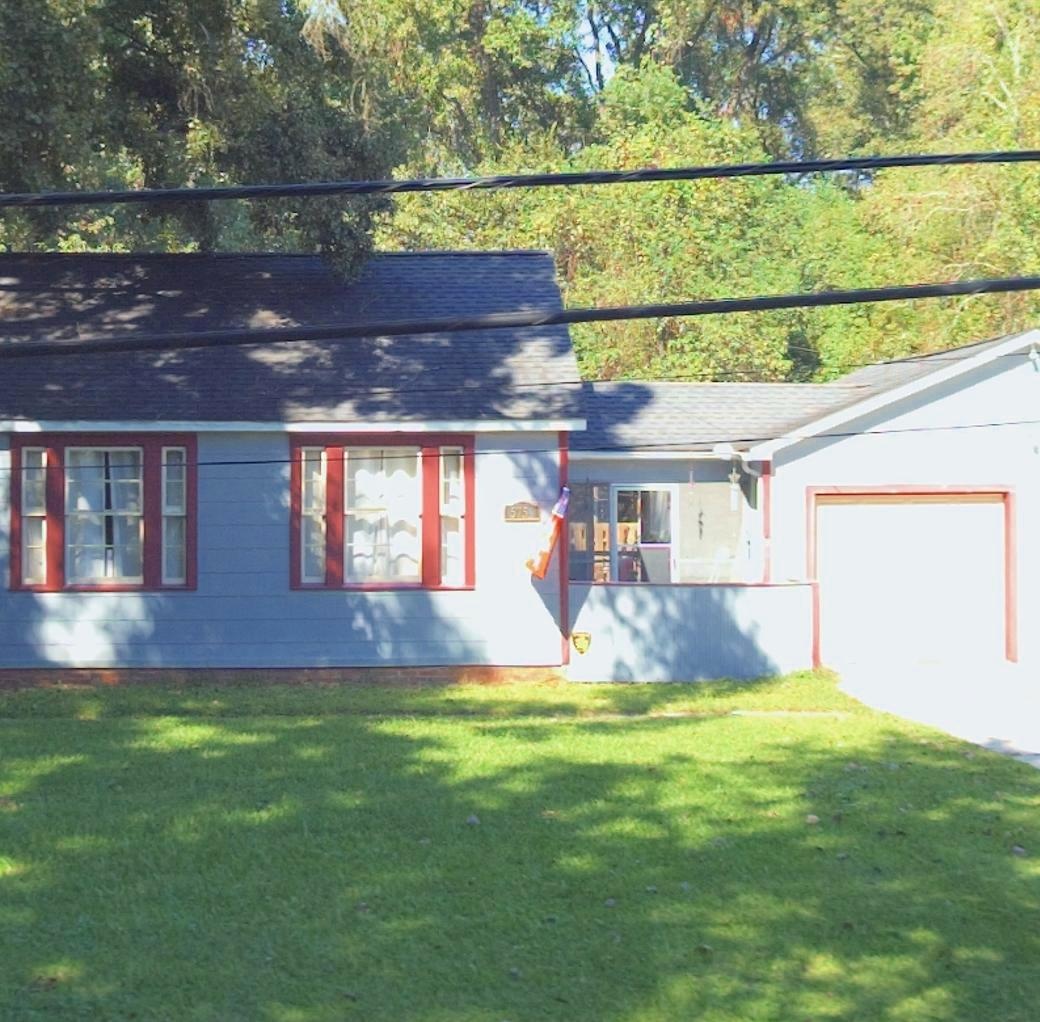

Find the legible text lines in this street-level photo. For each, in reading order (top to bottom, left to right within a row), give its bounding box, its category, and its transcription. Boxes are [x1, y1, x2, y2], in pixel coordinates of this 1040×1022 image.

[508, 506, 536, 518] StreetNumber: 5755